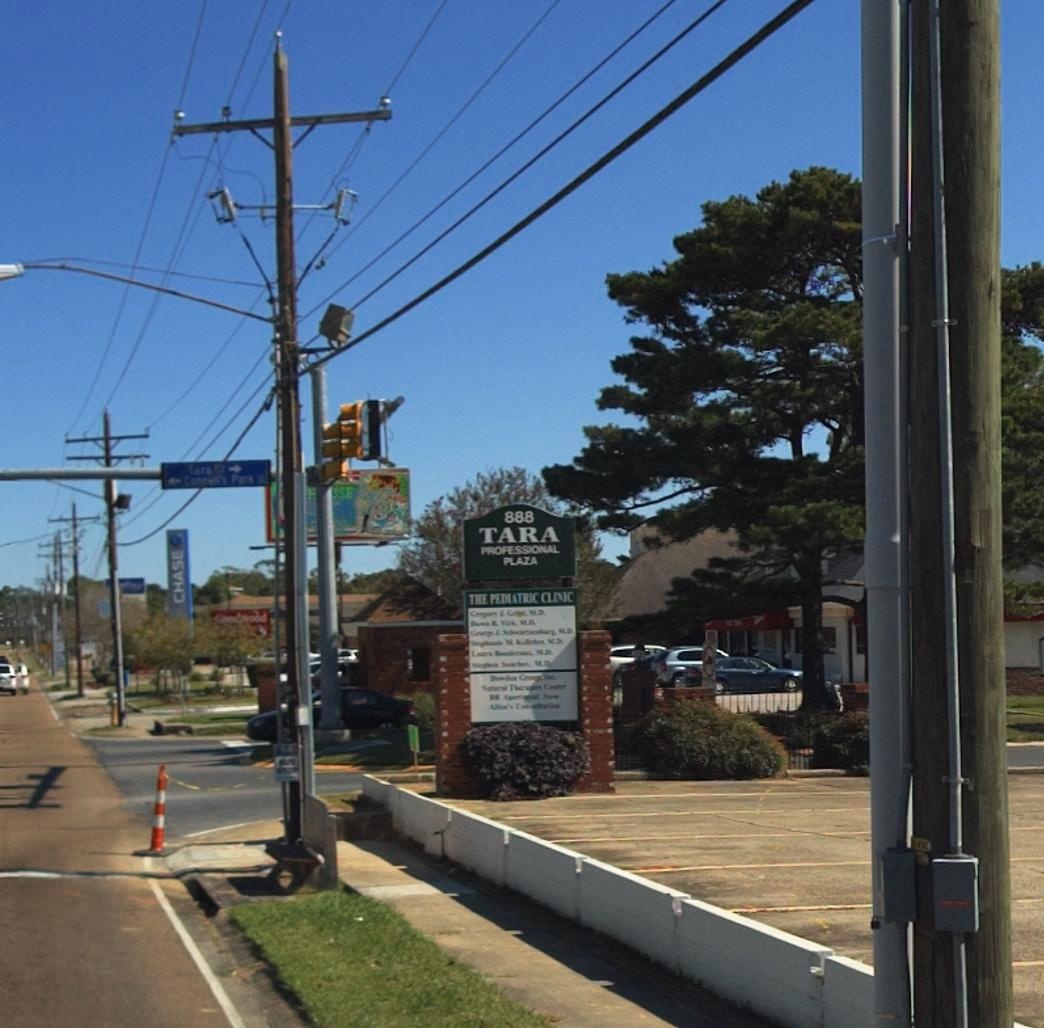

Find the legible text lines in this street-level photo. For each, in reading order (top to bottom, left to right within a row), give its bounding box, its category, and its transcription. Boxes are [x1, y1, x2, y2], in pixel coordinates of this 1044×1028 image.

[186, 462, 216, 478] StreetName: Tara
[335, 485, 356, 502] None: SE
[503, 508, 536, 525] StreetNumber: 888
[478, 524, 564, 545] BusinessName: TARA
[478, 542, 564, 557] BusinessName: PROFESSIONAL
[502, 554, 540, 568] BusinessName: PLAZA
[169, 548, 187, 606] BusinessName: CHASE
[467, 590, 576, 607] BusinessName: THE PEDIATRIC CLINIC
[247, 611, 268, 624] None: ood
[518, 617, 537, 627] None: MD
[527, 608, 546, 616] None: MD
[557, 626, 574, 635] None: MD
[546, 636, 566, 646] None: MD
[534, 648, 555, 656] None: MD
[534, 659, 553, 667] None: MD